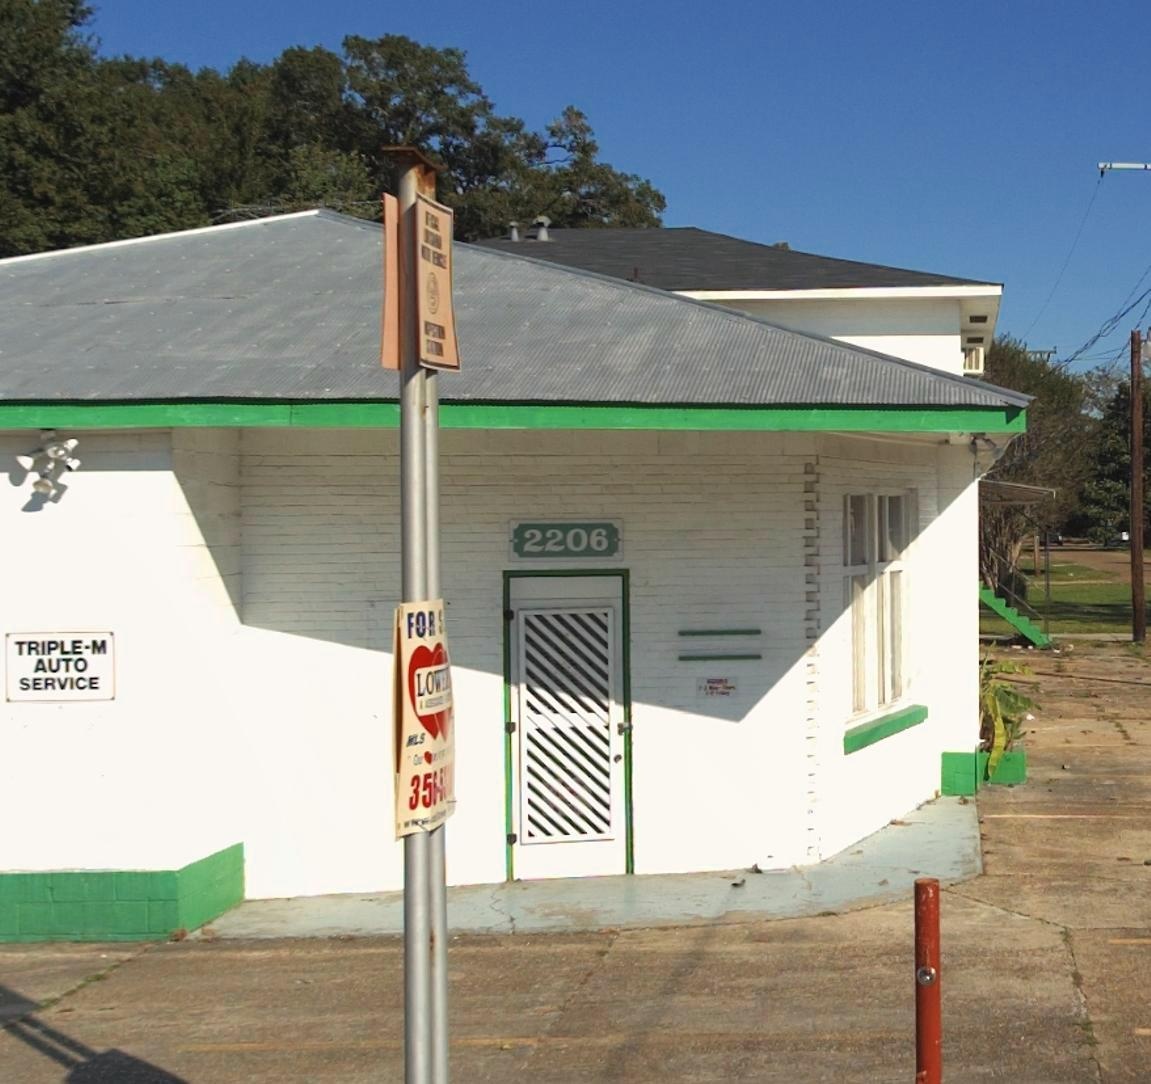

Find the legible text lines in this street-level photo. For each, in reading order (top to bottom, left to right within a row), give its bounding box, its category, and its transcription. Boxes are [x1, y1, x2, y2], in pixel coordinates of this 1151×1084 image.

[522, 527, 609, 553] StreetNumber: 2206
[406, 609, 438, 639] None: FOR
[13, 639, 107, 656] BusinessName: TRIPLE-M
[32, 657, 87, 673] BusinessName: AUTO
[18, 676, 100, 691] BusinessName: SERVICE
[415, 670, 436, 699] None: LO
[408, 770, 433, 812] None: 35